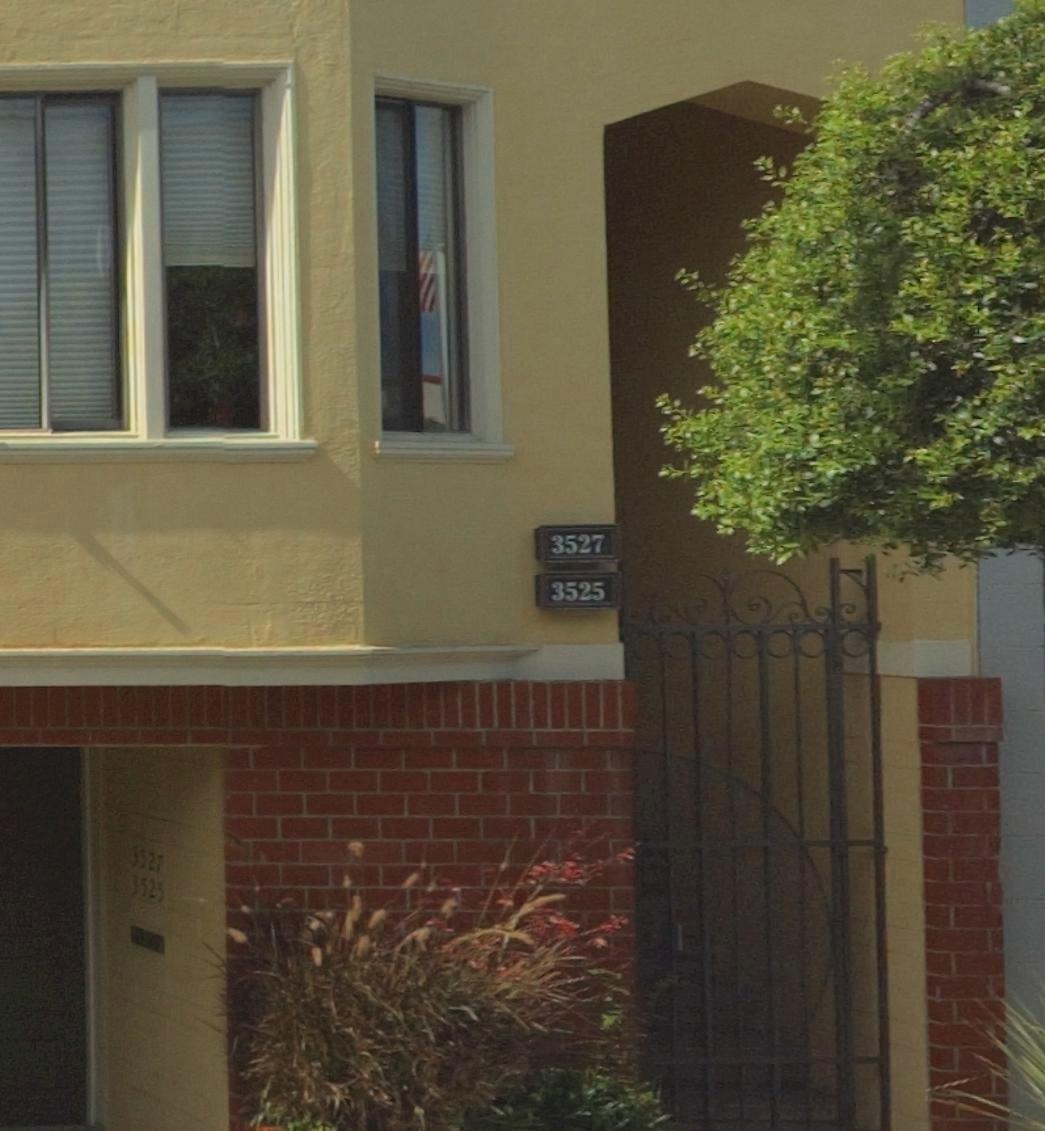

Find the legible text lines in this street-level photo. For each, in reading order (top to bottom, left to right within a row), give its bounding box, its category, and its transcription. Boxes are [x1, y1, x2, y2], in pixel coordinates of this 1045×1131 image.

[548, 531, 607, 557] StreetNumber: 3527
[548, 579, 607, 604] StreetNumber: 3525
[127, 842, 167, 877] StreetNumber: 3527
[128, 871, 167, 905] StreetNumber: 3525